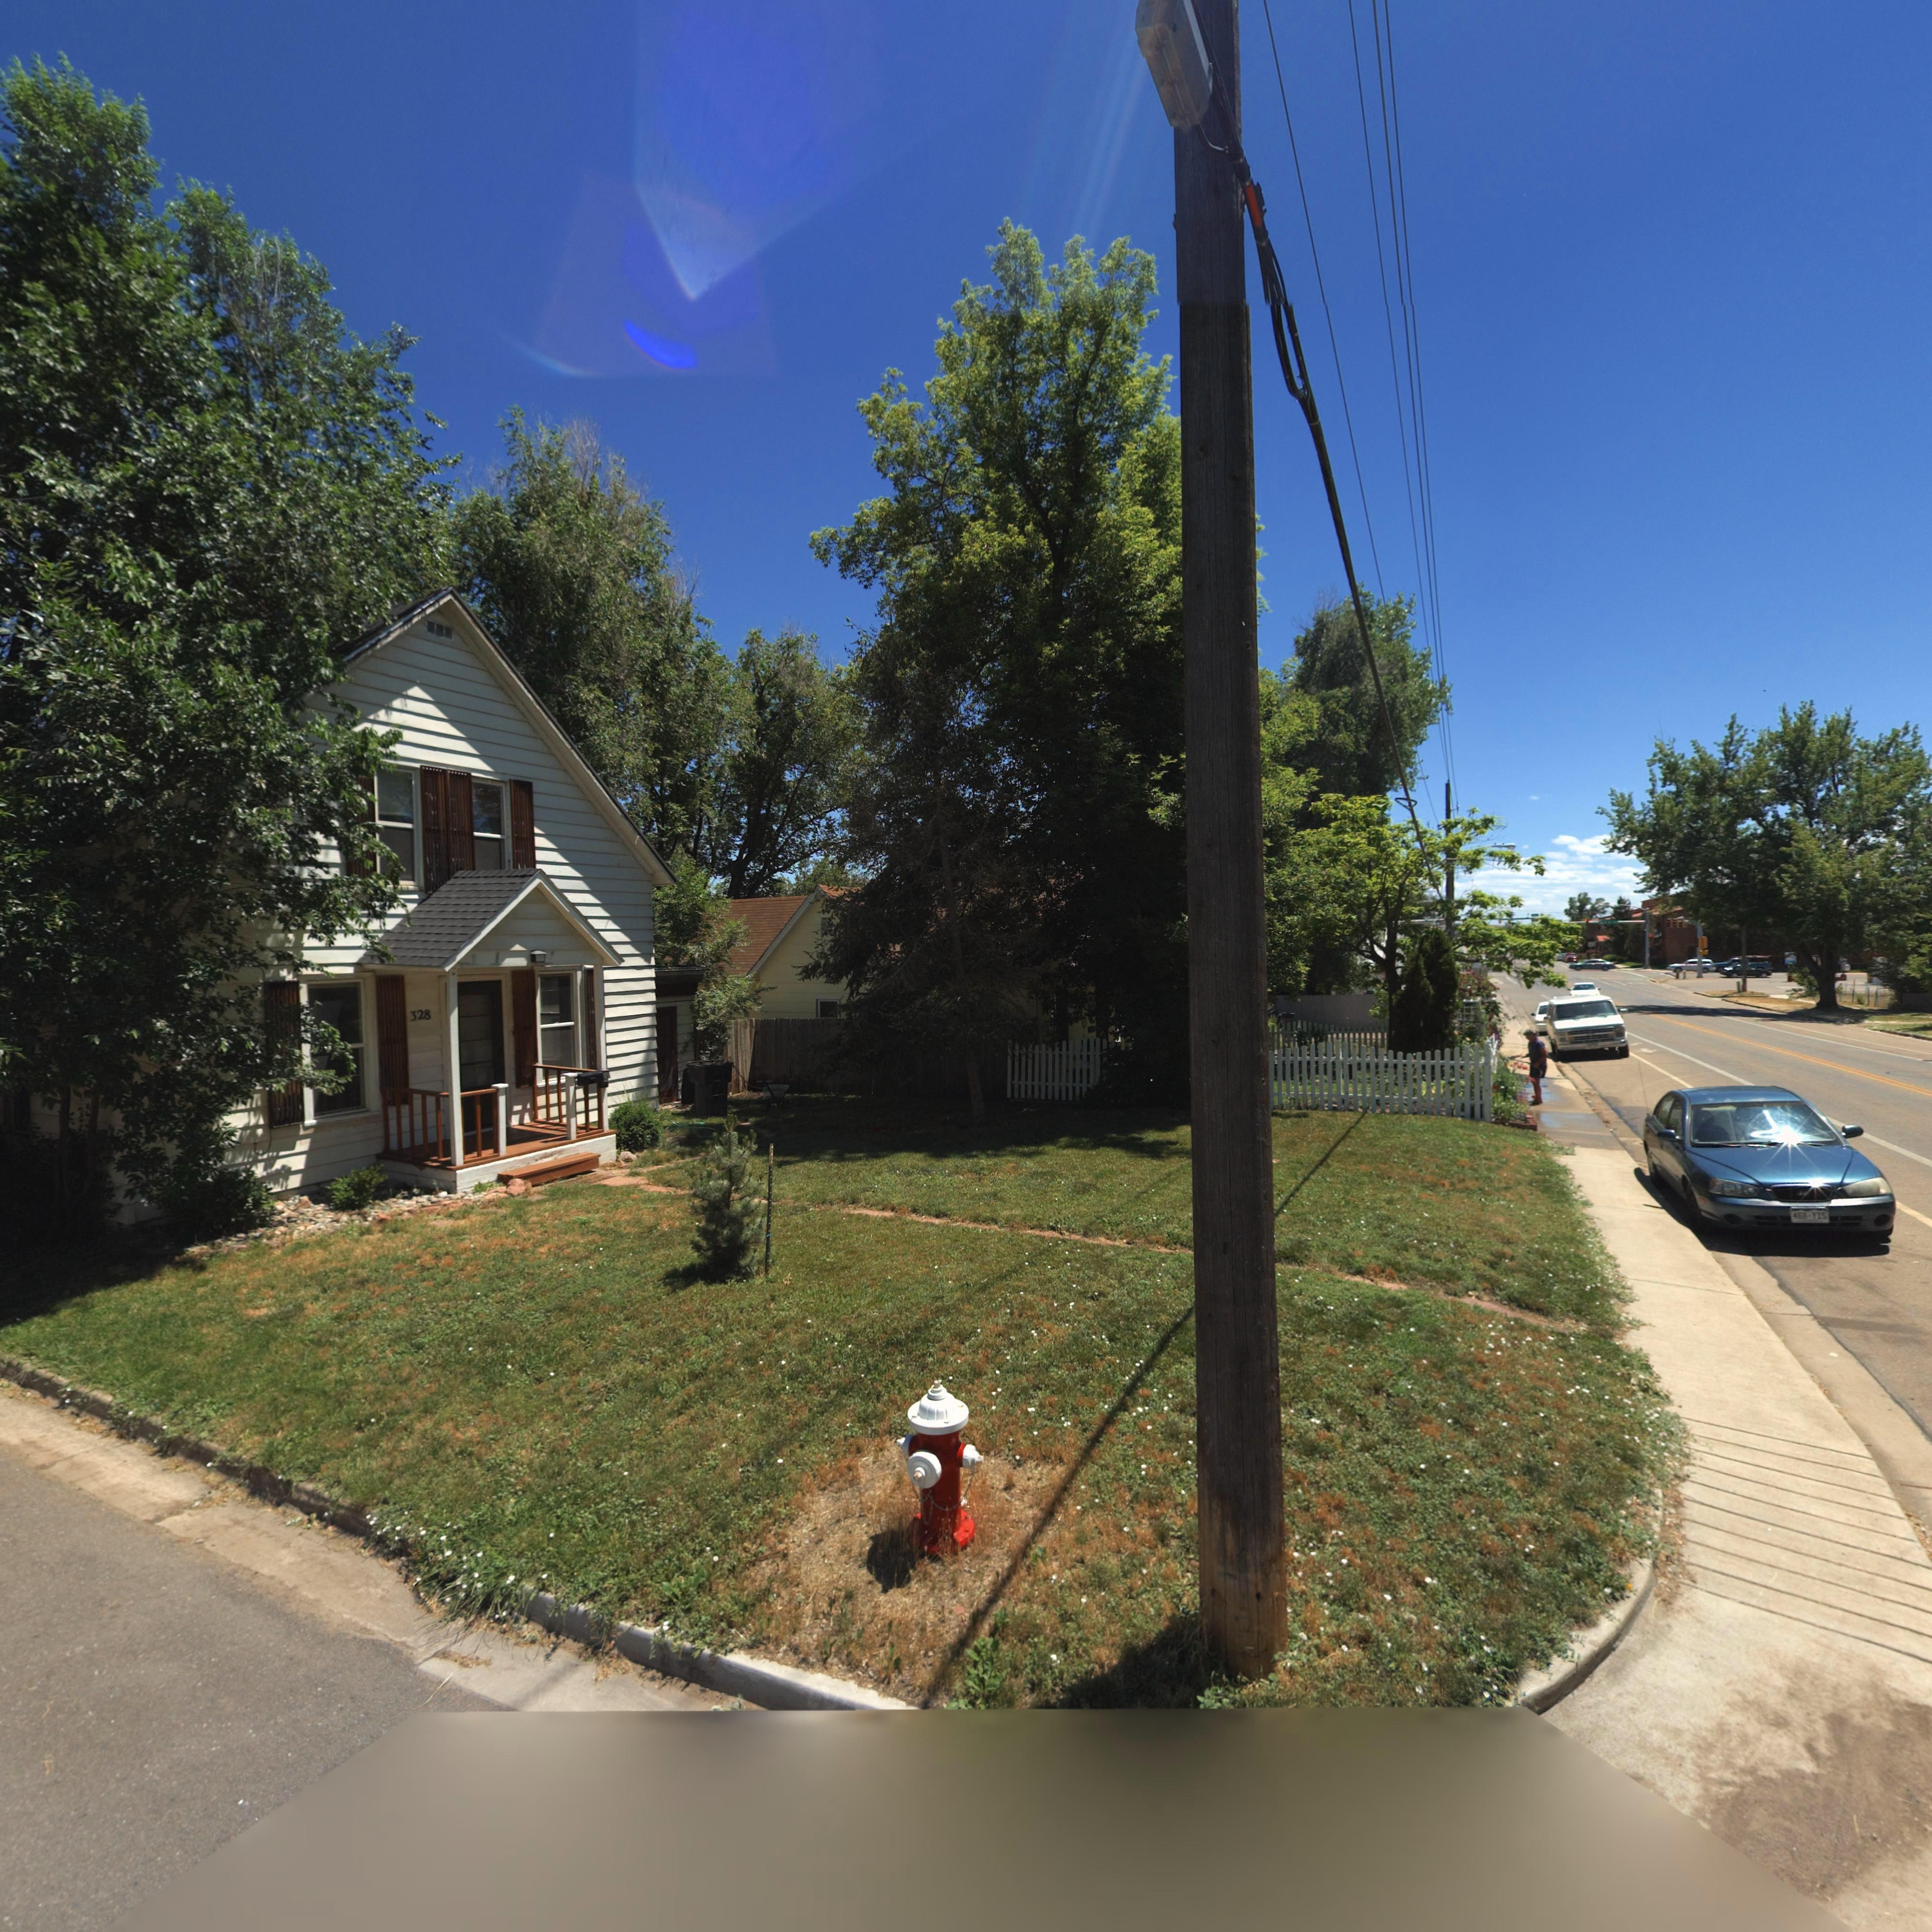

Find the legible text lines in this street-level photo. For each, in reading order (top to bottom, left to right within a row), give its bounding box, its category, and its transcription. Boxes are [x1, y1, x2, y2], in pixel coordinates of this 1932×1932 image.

[409, 1008, 431, 1022] StreetNumber: 328